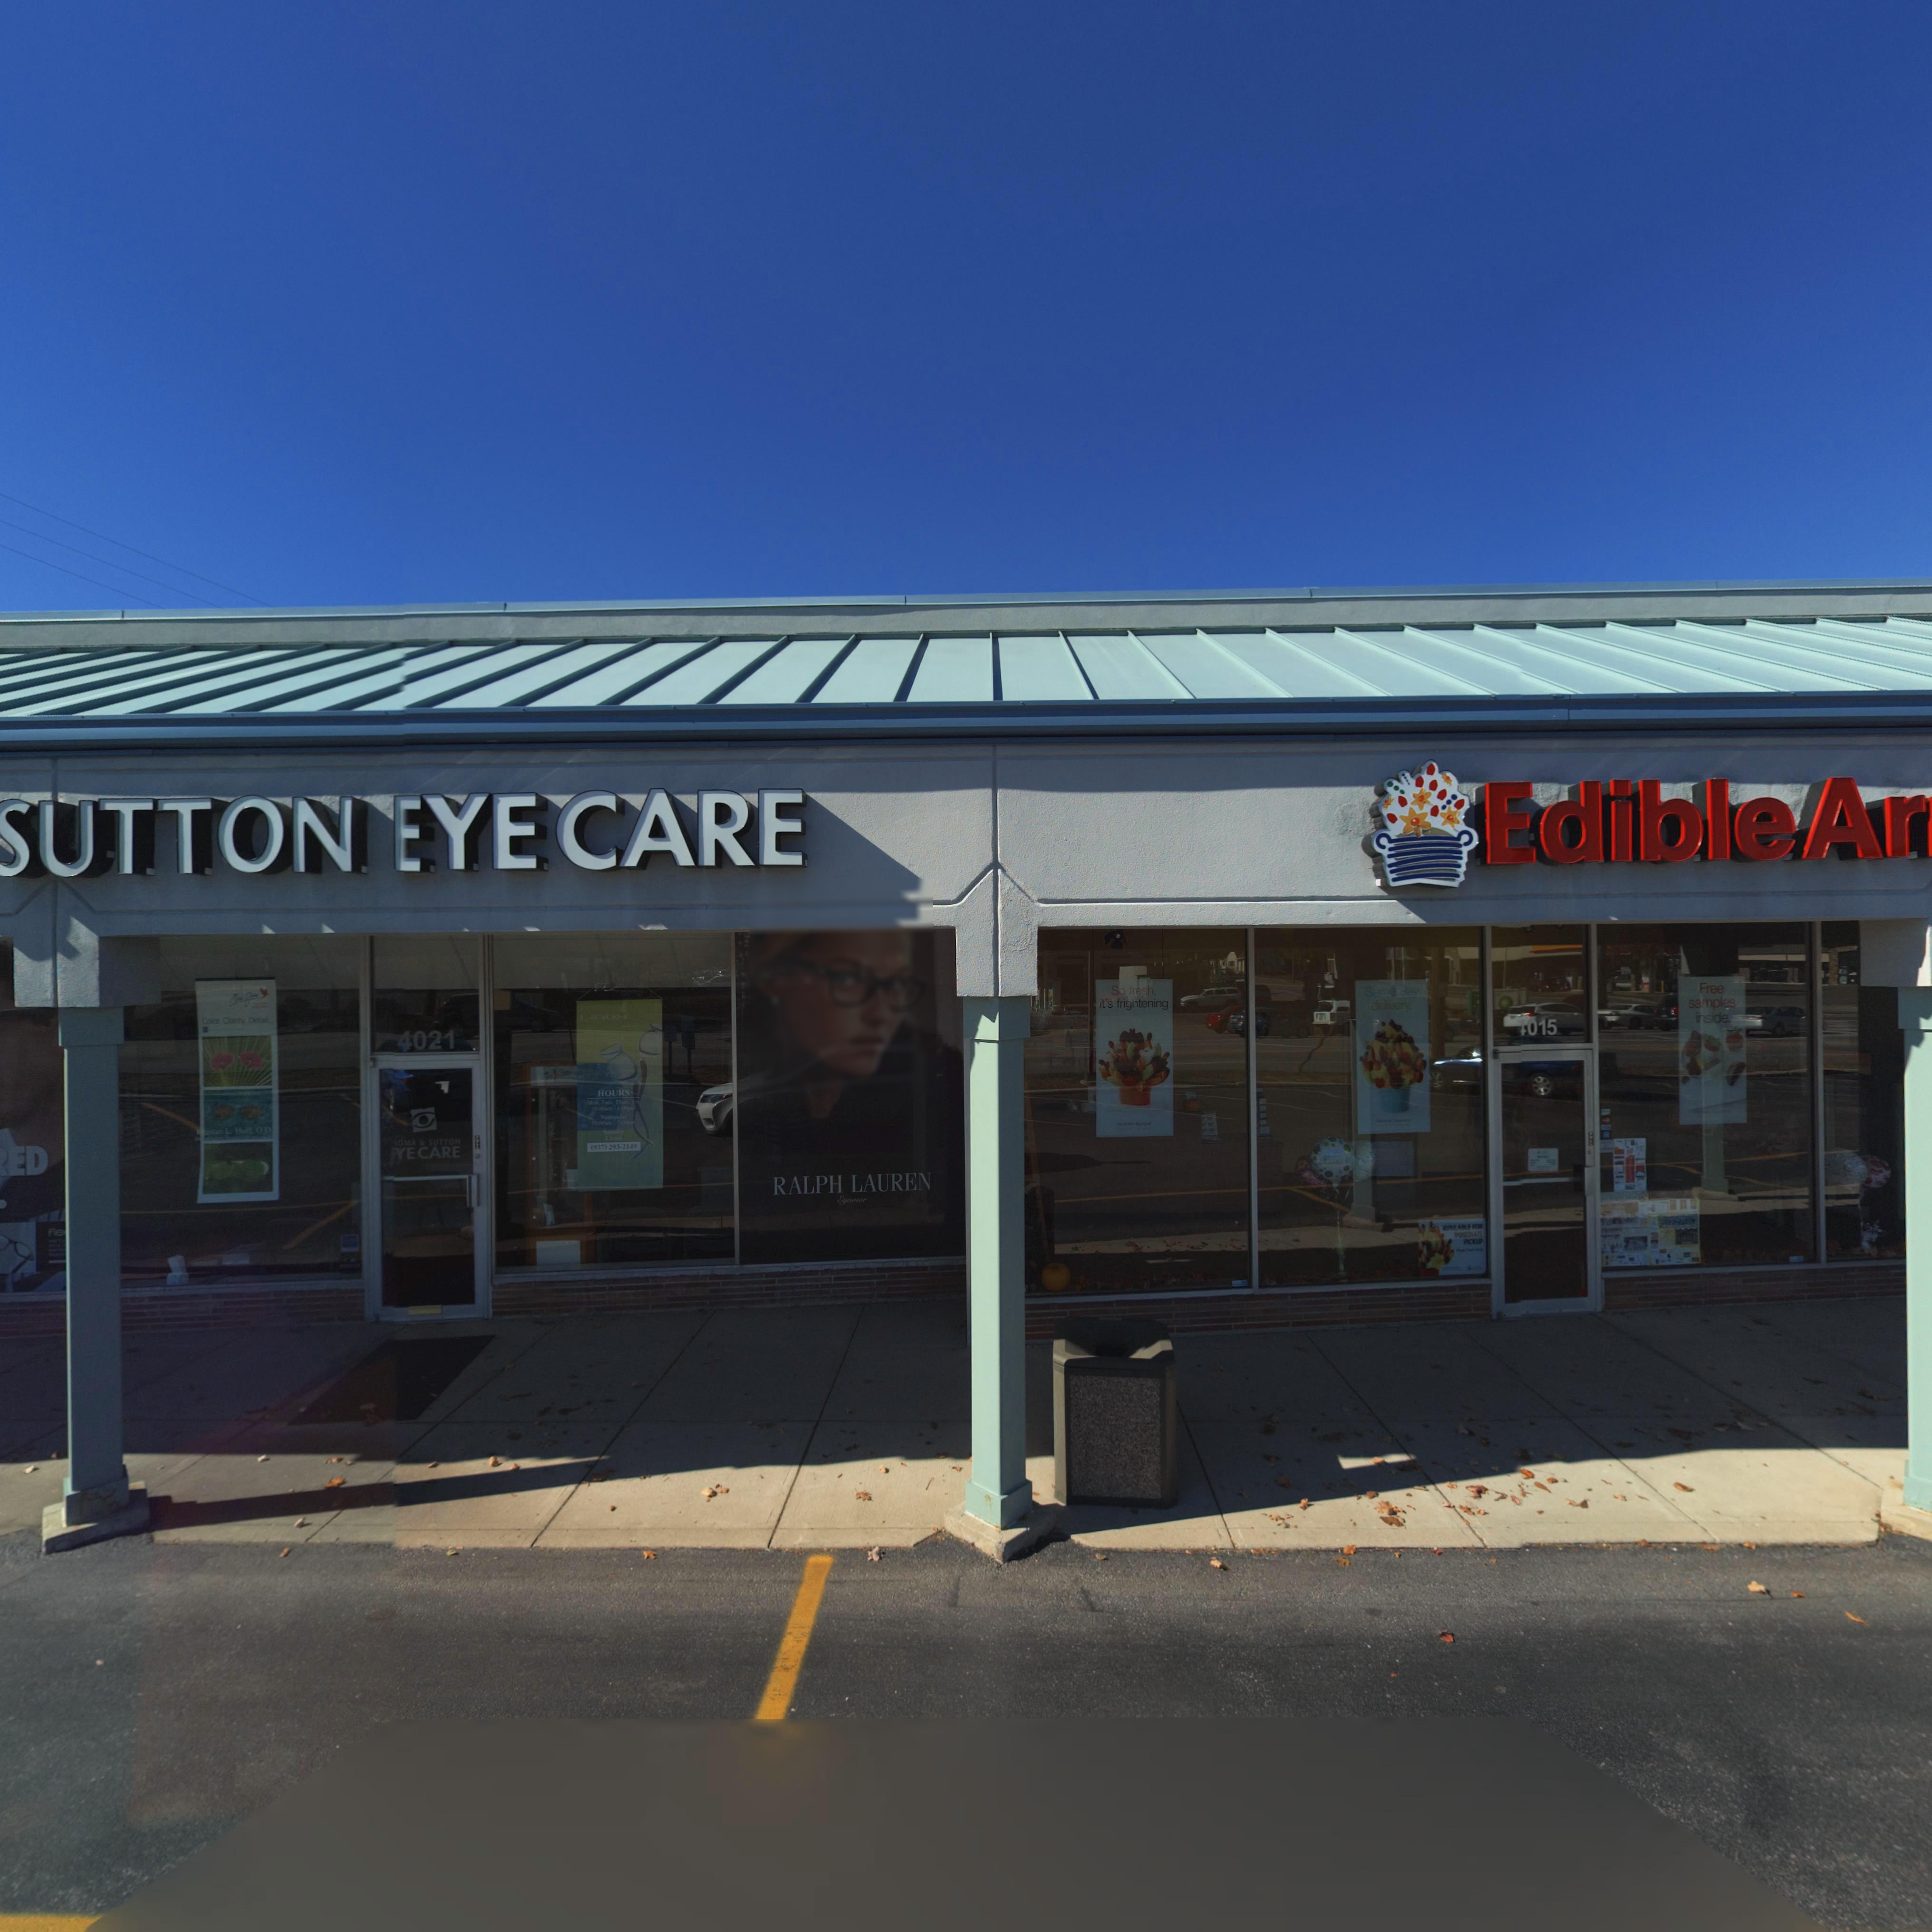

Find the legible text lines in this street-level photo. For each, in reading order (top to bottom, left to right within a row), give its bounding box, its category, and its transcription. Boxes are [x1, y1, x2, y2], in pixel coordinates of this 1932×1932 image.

[1481, 775, 1928, 867] BusinessName: Edible Ar
[35, 784, 807, 879] BusinessName: UTTON EYE CARE
[1111, 984, 1154, 996] None: So fresh
[1364, 985, 1421, 1000] None: S**e day
[1699, 982, 1725, 995] None: Free
[1099, 997, 1169, 1011] None: it's frightening
[1369, 998, 1413, 1014] None: delivery
[1688, 995, 1737, 1012] None: samples
[201, 1015, 270, 1025] None: Color Clarity Detail
[1526, 1018, 1558, 1037] StreetNumber: 015
[1695, 1011, 1729, 1024] None: inside
[396, 1029, 456, 1052] StreetNumber: 4021
[597, 1089, 631, 1097] None: HOURS
[394, 1145, 462, 1160] BusinessName: YE CARE
[397, 1138, 462, 1147] BusinessName: OMA & SUTTON
[590, 1142, 638, 1151] None: (937) 293-2149
[7, 1145, 50, 1177] None: ED
[771, 1171, 933, 1197] None: RALPH LAUREN
[837, 1194, 869, 1207] None: Eyewear